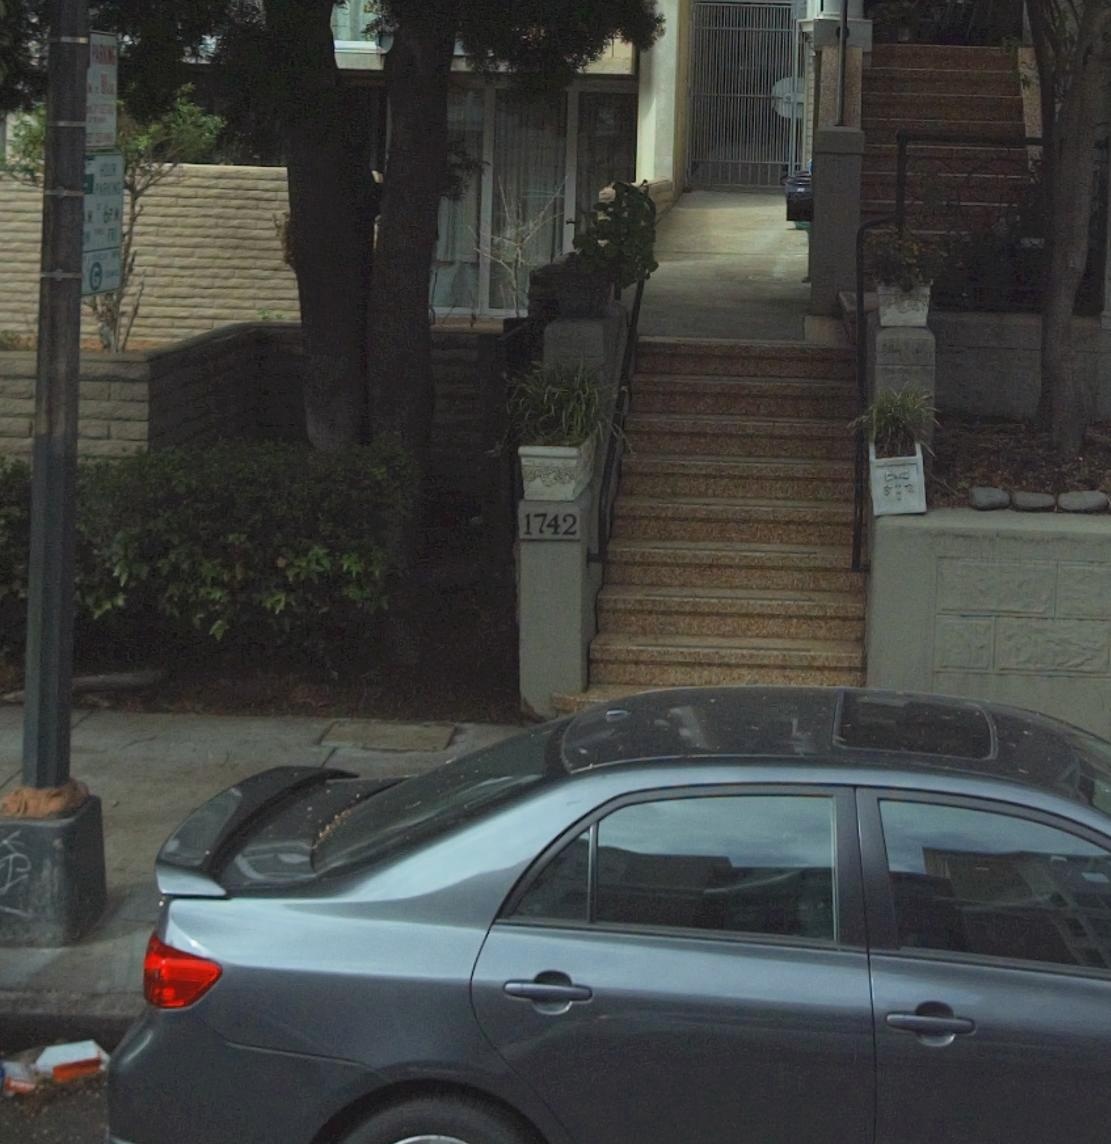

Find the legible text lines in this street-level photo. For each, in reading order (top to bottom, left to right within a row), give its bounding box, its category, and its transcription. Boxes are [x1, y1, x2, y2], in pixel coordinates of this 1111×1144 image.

[89, 264, 102, 289] None: G
[522, 510, 579, 537] StreetNumber: 1742